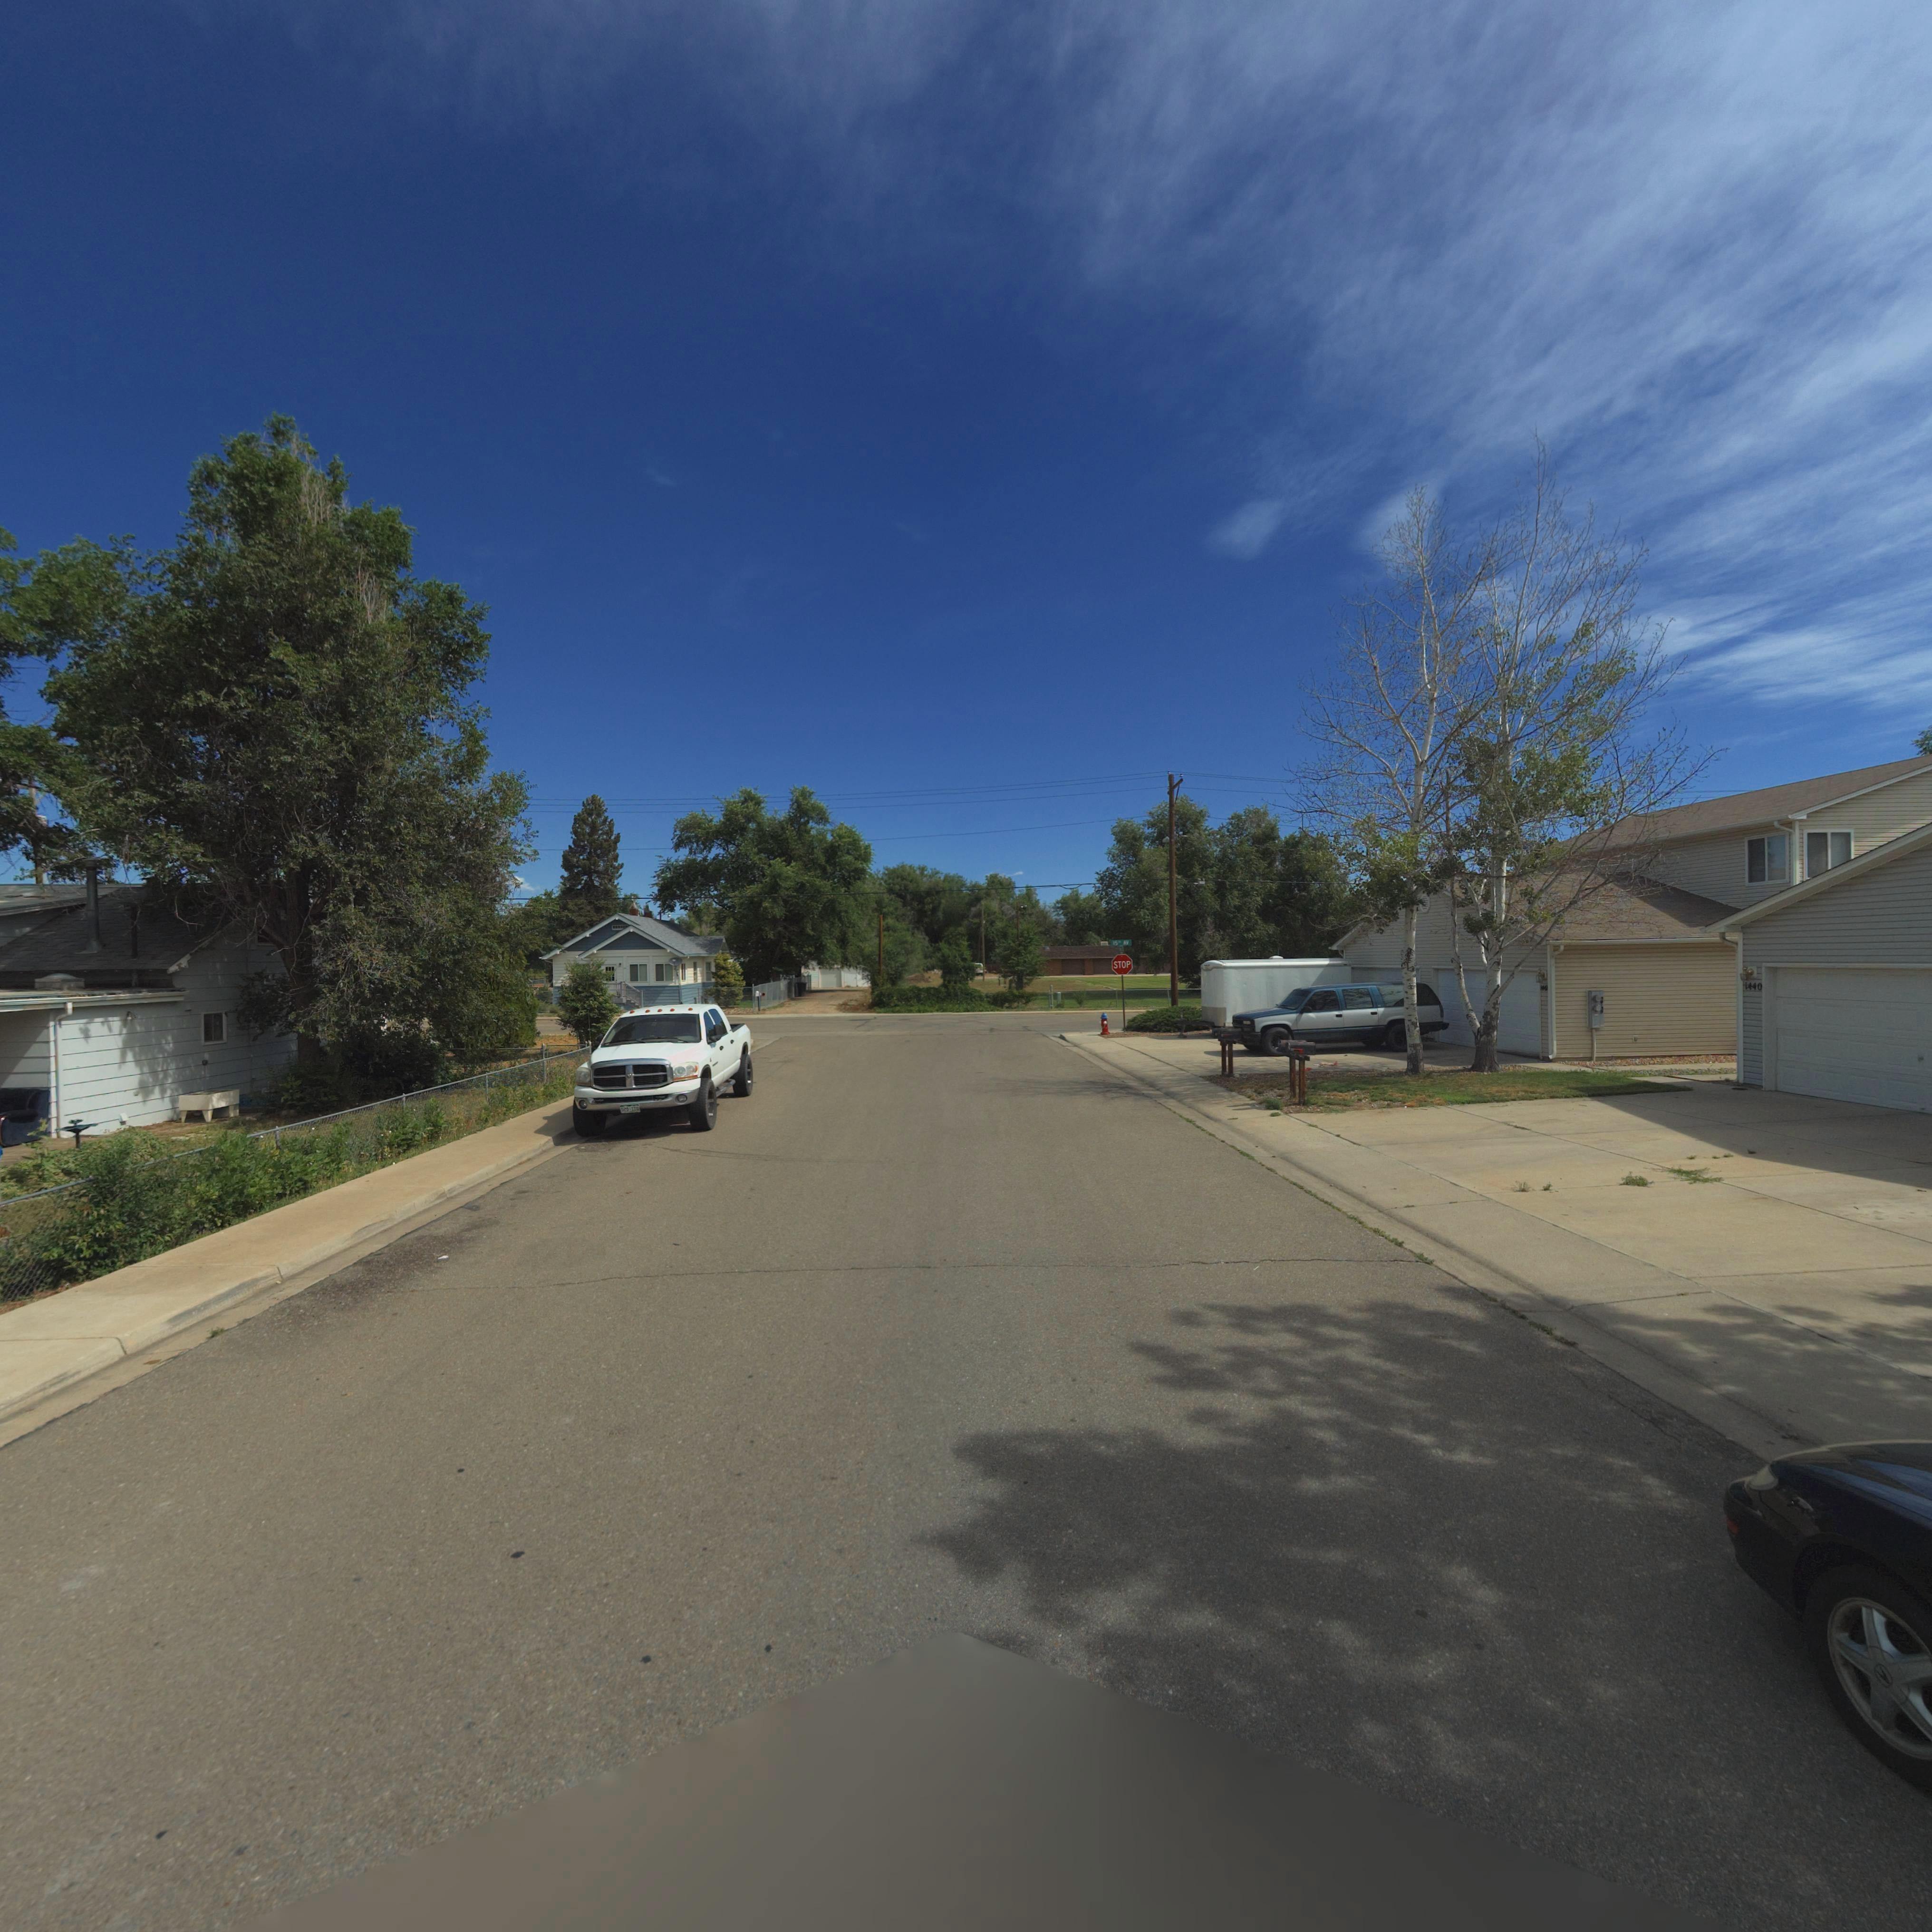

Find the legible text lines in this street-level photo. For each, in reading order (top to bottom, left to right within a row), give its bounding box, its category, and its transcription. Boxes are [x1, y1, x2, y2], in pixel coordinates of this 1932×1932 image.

[1113, 939, 1130, 945] StreetName: 15** AV
[1744, 981, 1762, 991] StreetNumber: 1440